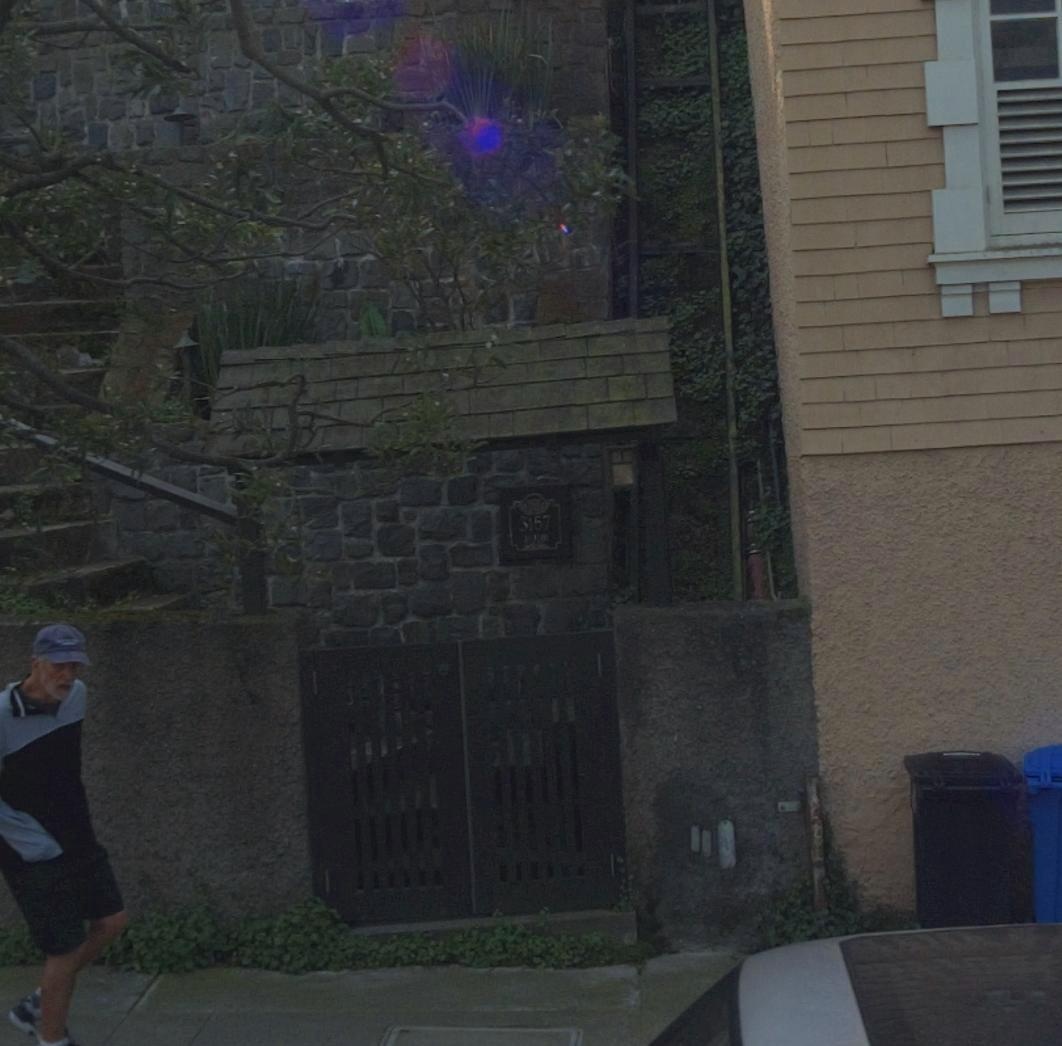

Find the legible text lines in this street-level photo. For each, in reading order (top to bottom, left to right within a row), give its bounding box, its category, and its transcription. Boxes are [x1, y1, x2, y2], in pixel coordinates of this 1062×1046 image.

[516, 513, 553, 534] StreetNumber: 3157